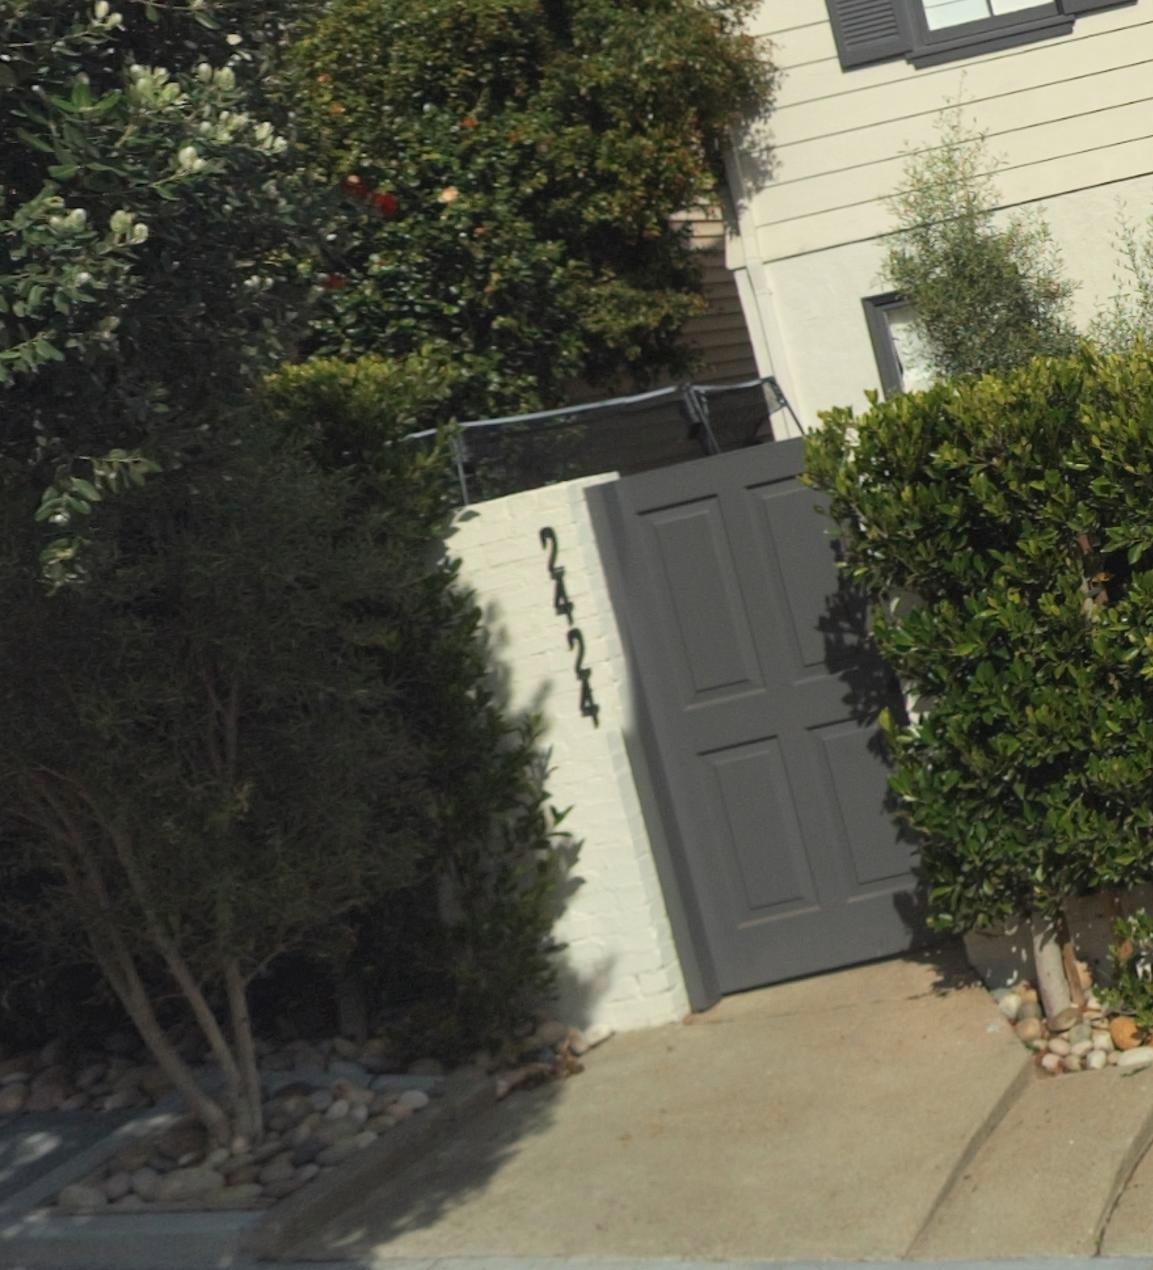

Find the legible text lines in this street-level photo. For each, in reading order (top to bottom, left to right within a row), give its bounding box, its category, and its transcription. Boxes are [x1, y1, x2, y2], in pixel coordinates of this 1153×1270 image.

[534, 522, 605, 734] StreetNumber: 2424